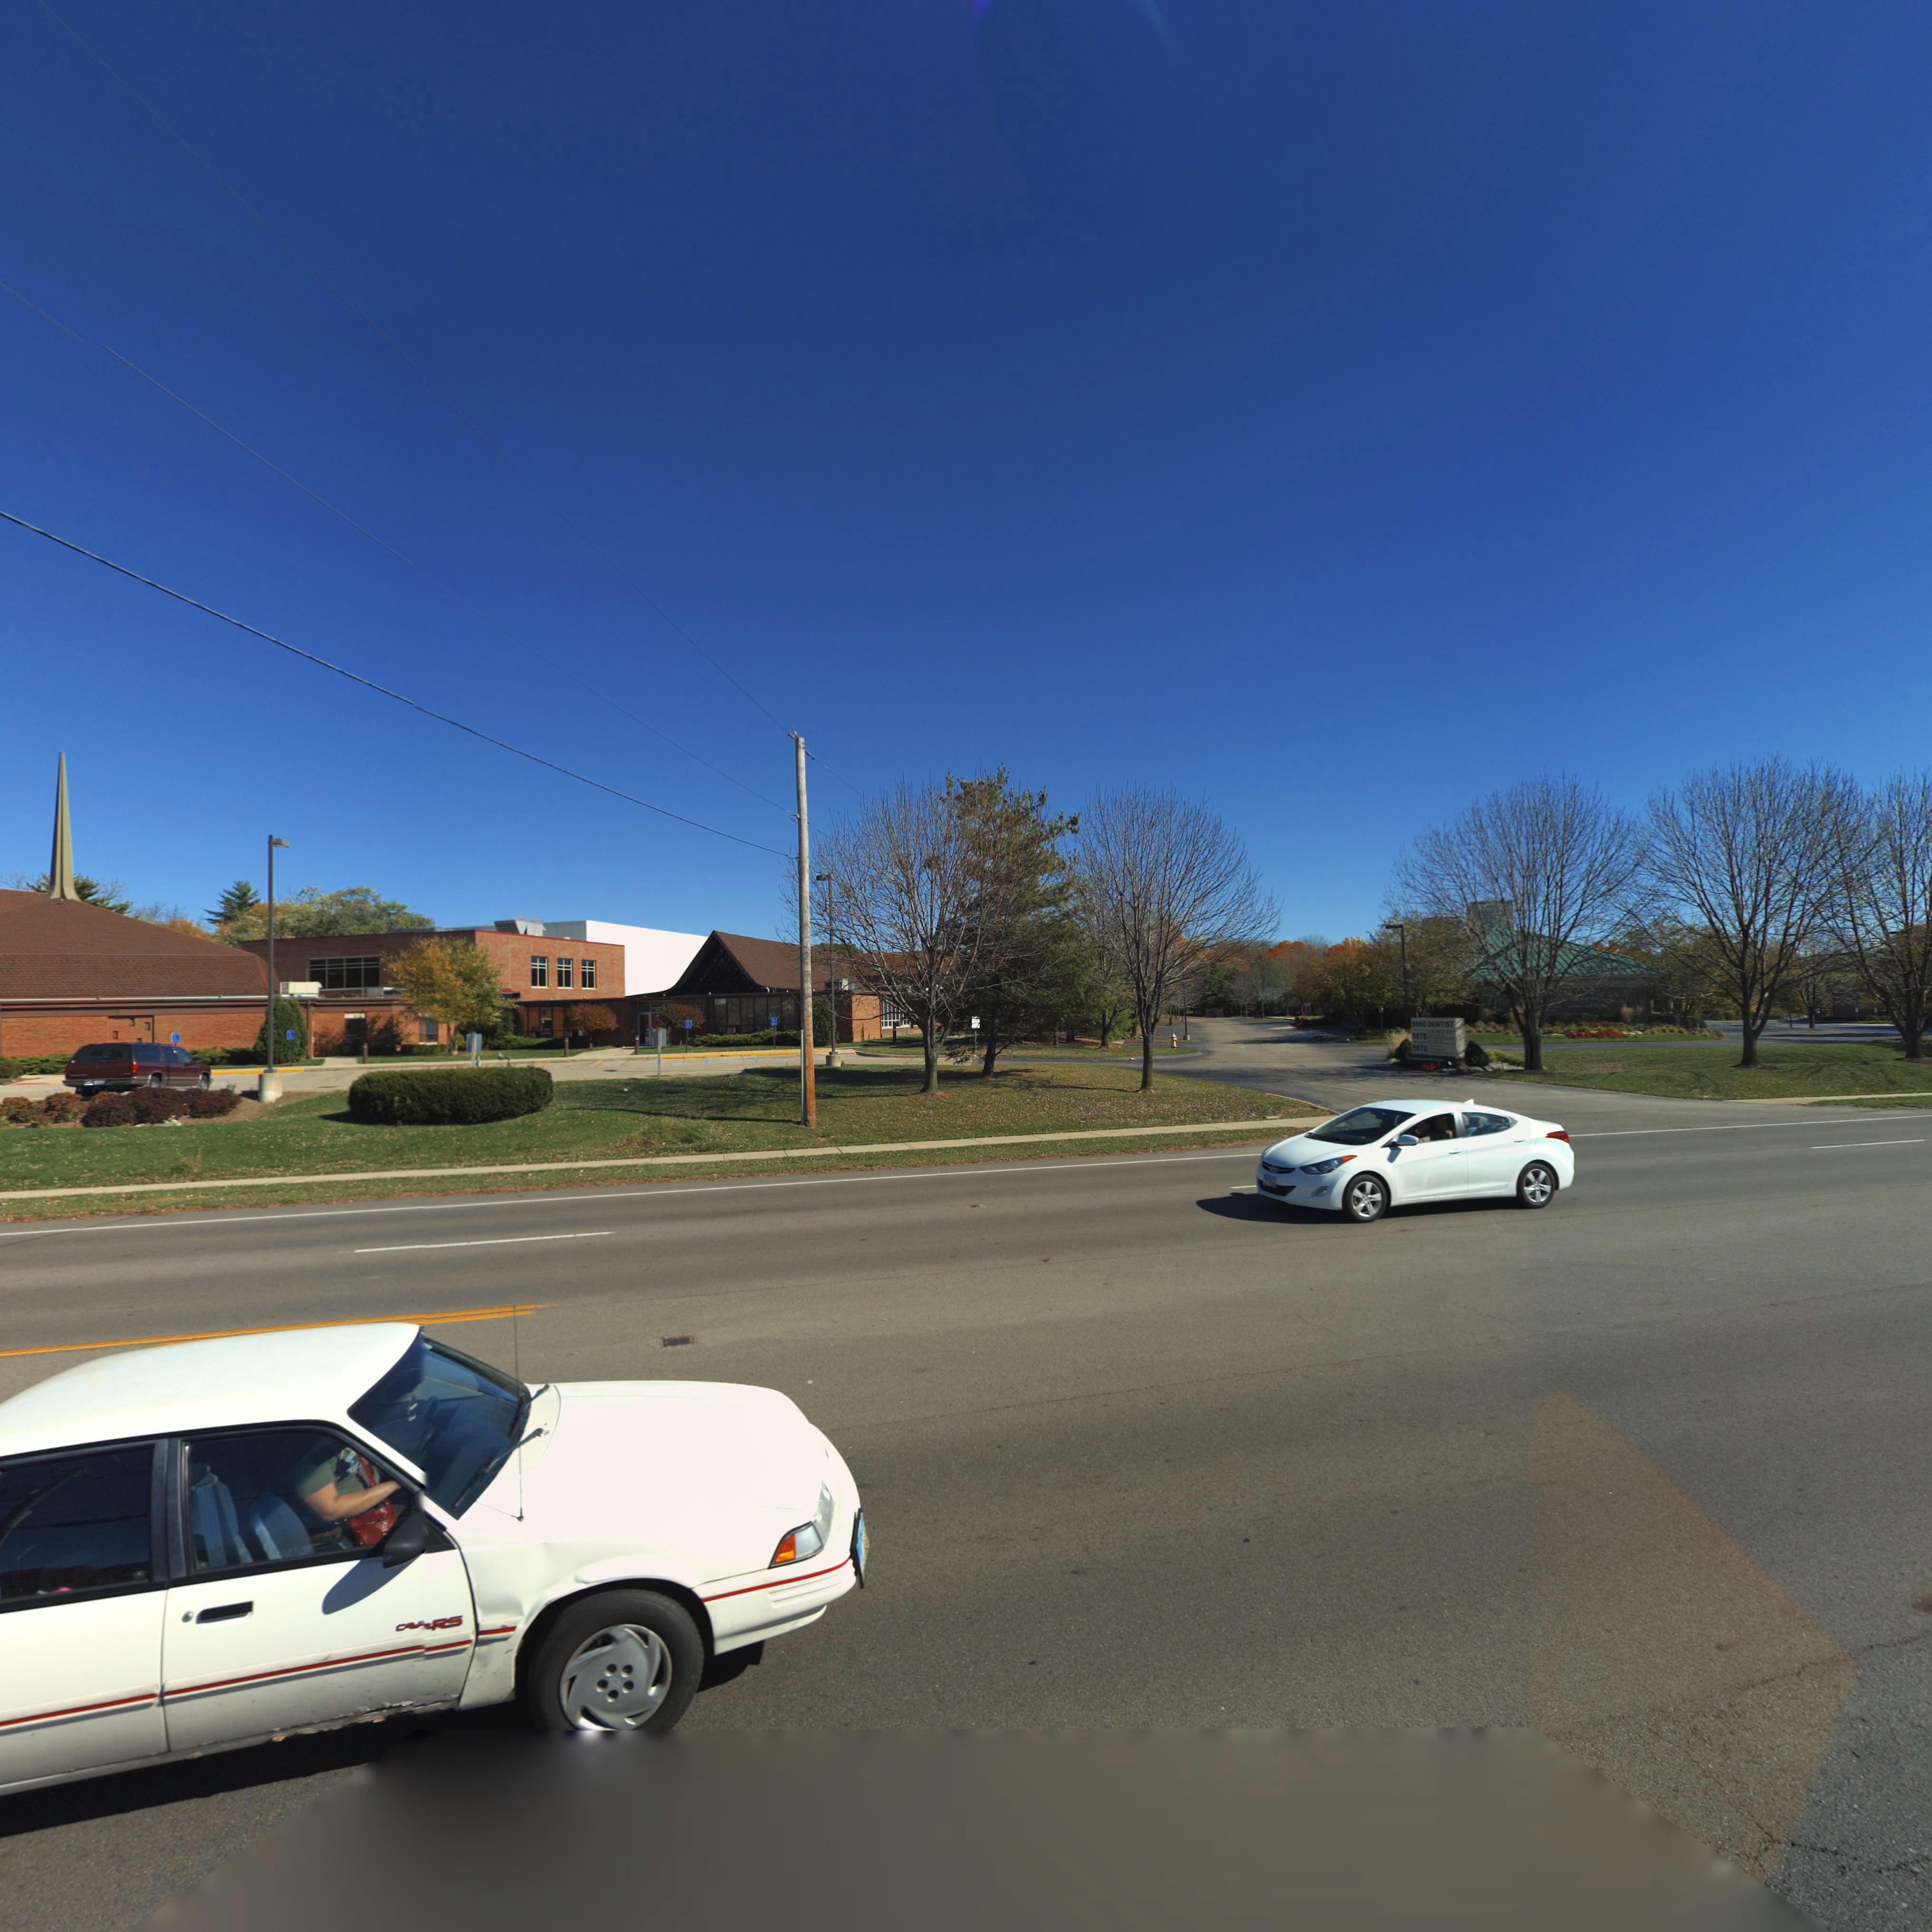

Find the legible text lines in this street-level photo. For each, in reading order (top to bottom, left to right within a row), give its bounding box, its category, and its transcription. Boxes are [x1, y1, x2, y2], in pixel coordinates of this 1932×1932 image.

[1410, 1019, 1428, 1028] StreetNumber: 5660
[1427, 1020, 1454, 1028] None: DENTIST
[1412, 1032, 1428, 1040] StreetNumber: 567*
[1412, 1043, 1429, 1053] StreetNumber: 5678
[394, 1622, 415, 1633] None: CA
[431, 1614, 463, 1632] None: RS